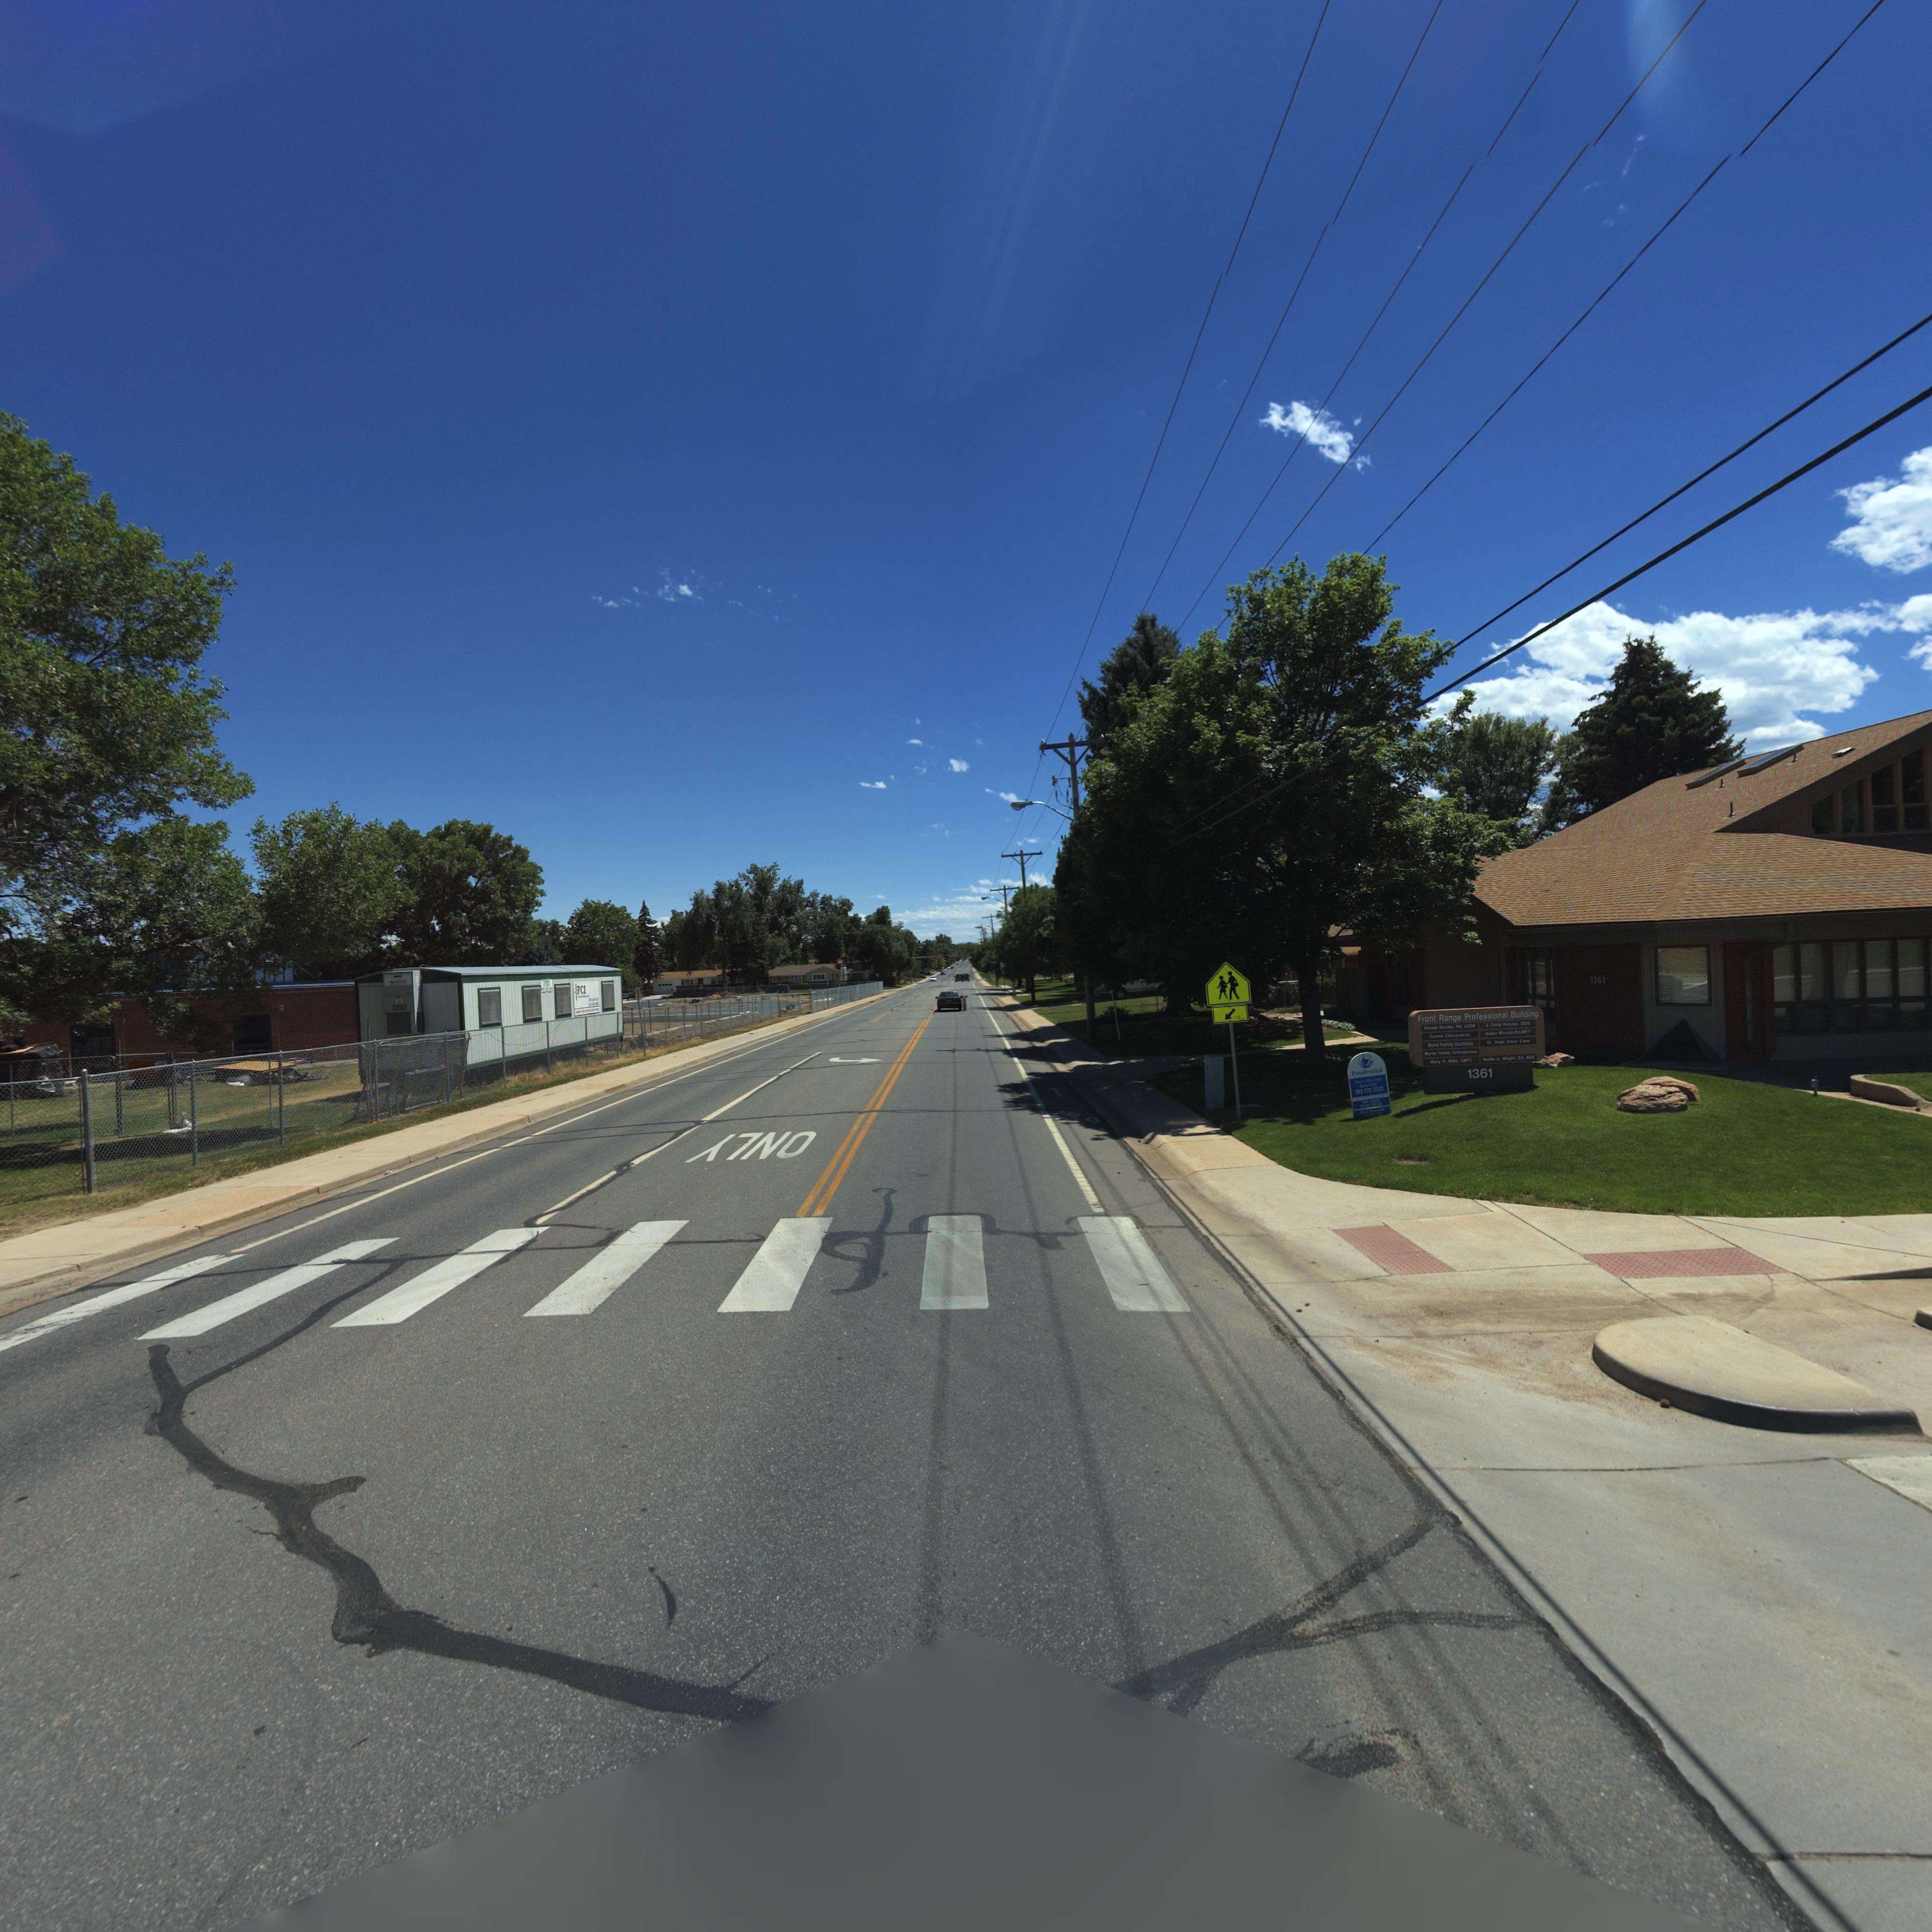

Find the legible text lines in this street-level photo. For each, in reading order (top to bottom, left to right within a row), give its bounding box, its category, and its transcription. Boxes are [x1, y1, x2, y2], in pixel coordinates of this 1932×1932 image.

[1589, 975, 1605, 985] StreetNumber: 1361
[1424, 1023, 1476, 1030] BusinessName: ****** B*c*er, **, LCS*
[1485, 1021, 1530, 1027] BusinessName: J. C***g P*****r, D*S
[1429, 1032, 1470, 1039] BusinessName: C****e C*******c
[1484, 1029, 1531, 1036] BusinessName: A***** W**d****,L***
[1428, 1041, 1474, 1048] BusinessName: *o*d F***ly D**t****y
[1486, 1038, 1530, 1044] BusinessName: *** V**** A**** C***
[1424, 1049, 1478, 1055] BusinessName: M****n *****y C***********s
[1430, 1057, 1473, 1064] BusinessName: M**y R. M****, L**T
[1482, 1054, 1536, 1062] BusinessName: M****e A. W**g**, *A, A*A
[1466, 1067, 1493, 1079] StreetNumber: 1361